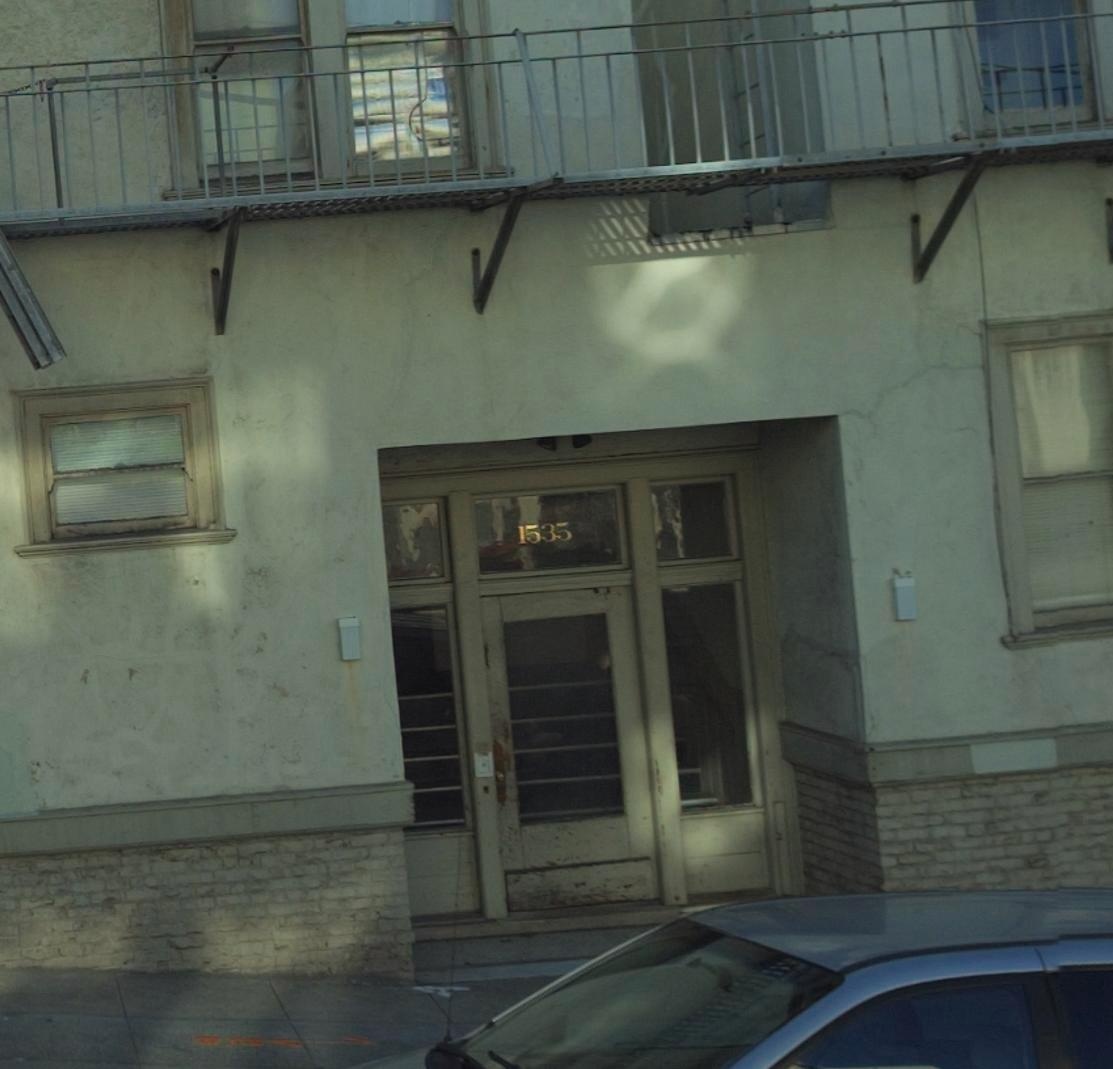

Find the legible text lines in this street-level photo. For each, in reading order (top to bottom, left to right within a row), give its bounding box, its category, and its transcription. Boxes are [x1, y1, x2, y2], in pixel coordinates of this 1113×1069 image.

[515, 519, 575, 546] StreetNumber: 1535